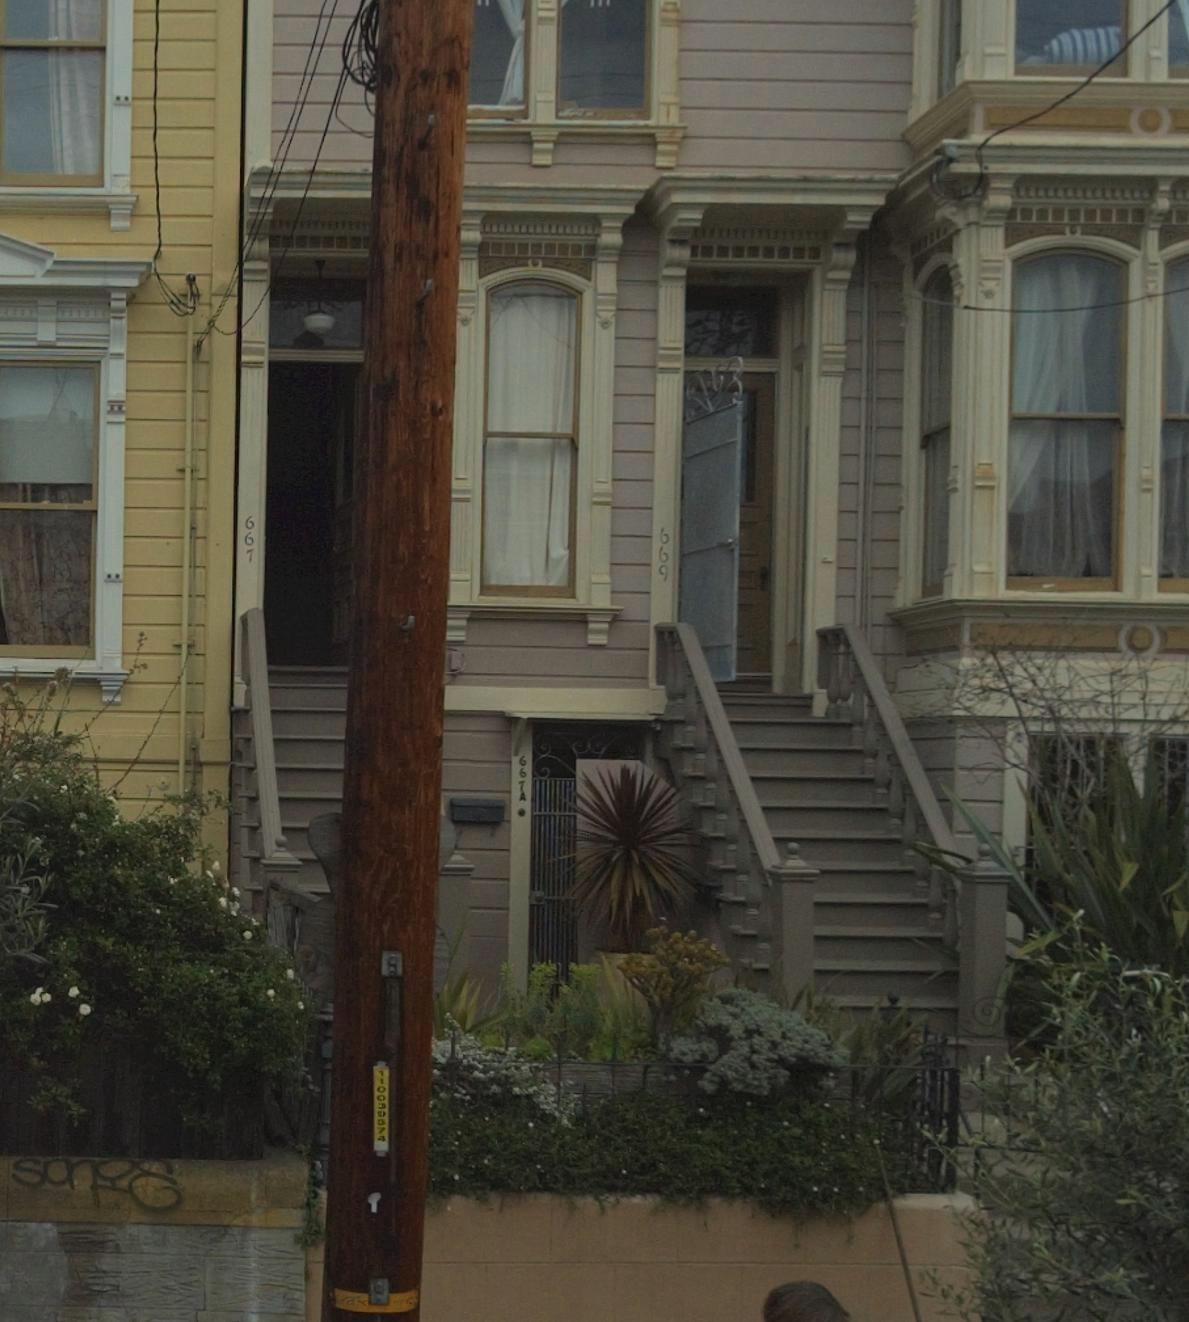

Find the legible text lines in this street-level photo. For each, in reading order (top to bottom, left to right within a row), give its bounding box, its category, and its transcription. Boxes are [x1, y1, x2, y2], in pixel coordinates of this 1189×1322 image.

[244, 514, 255, 563] StreetNumber: 667
[657, 525, 671, 584] StreetNumber: 669
[517, 755, 529, 802] StreetNumber: 667A
[375, 1068, 386, 1142] None: 110039574